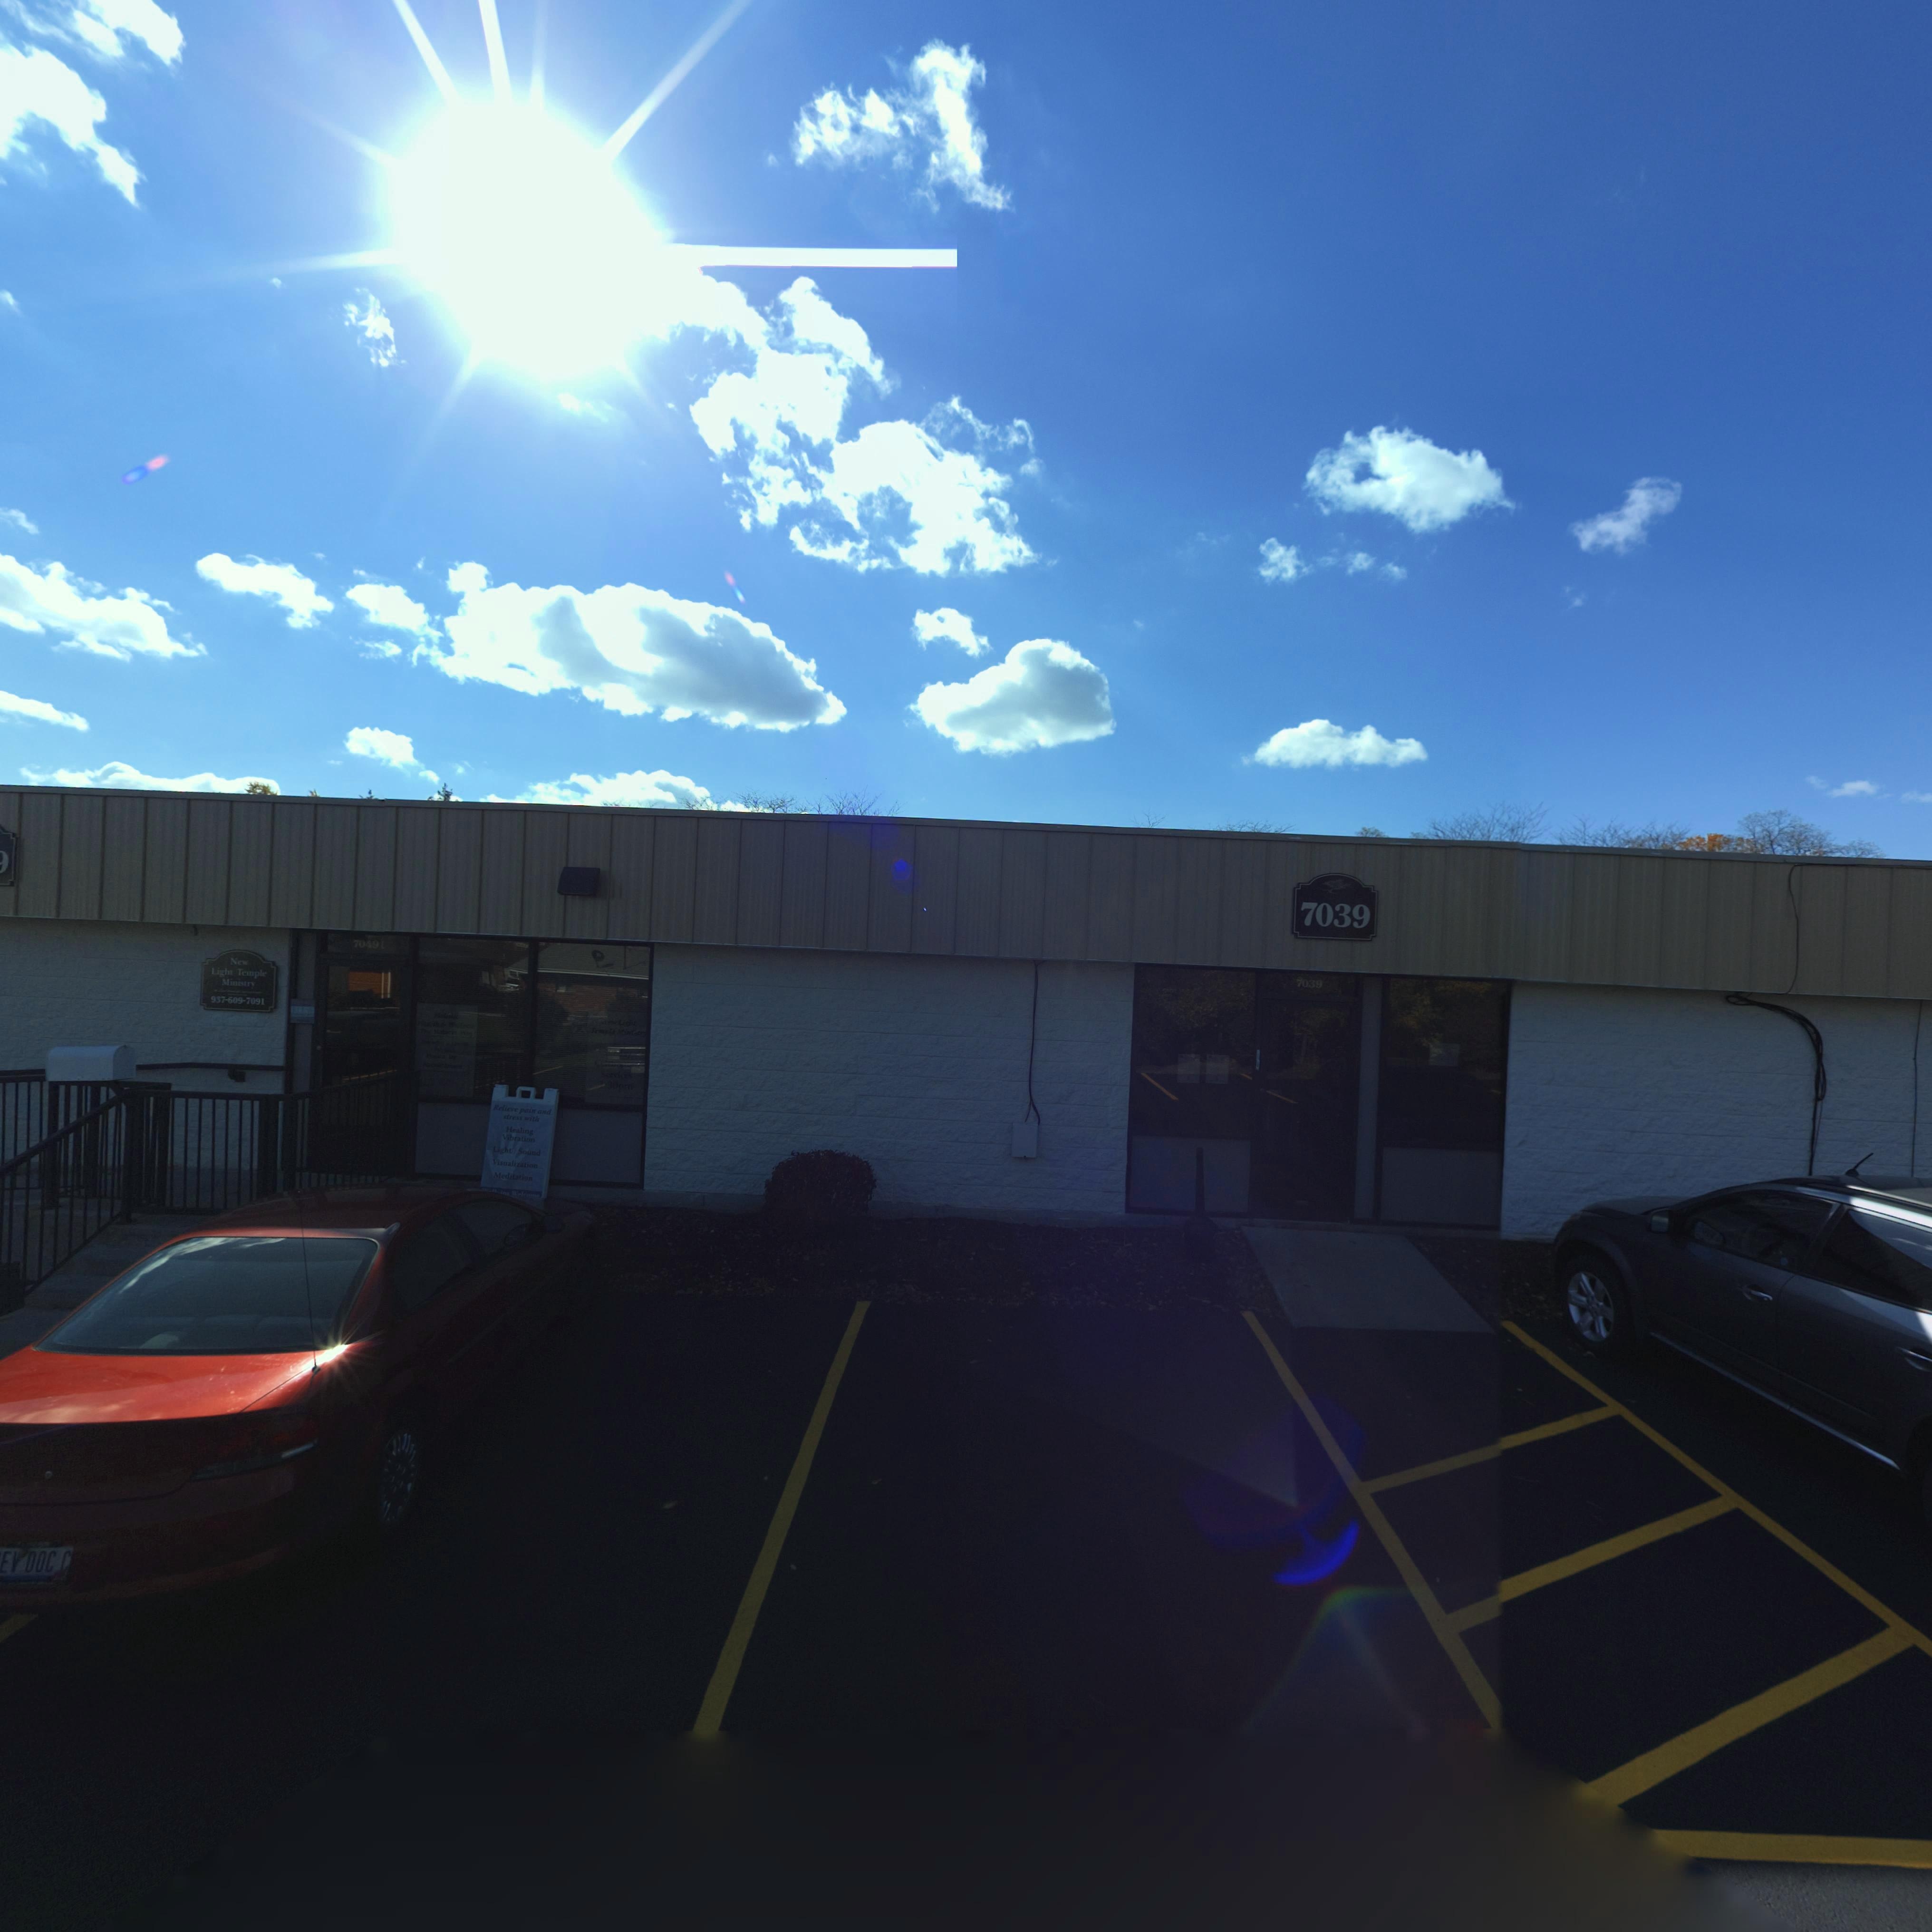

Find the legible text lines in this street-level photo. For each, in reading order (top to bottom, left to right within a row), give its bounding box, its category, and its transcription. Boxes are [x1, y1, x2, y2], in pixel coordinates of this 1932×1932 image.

[1299, 900, 1372, 929] StreetNumber: 7039
[352, 938, 386, 950] StreetNumber: 7049 *
[1295, 977, 1324, 989] StreetNumber: 7039